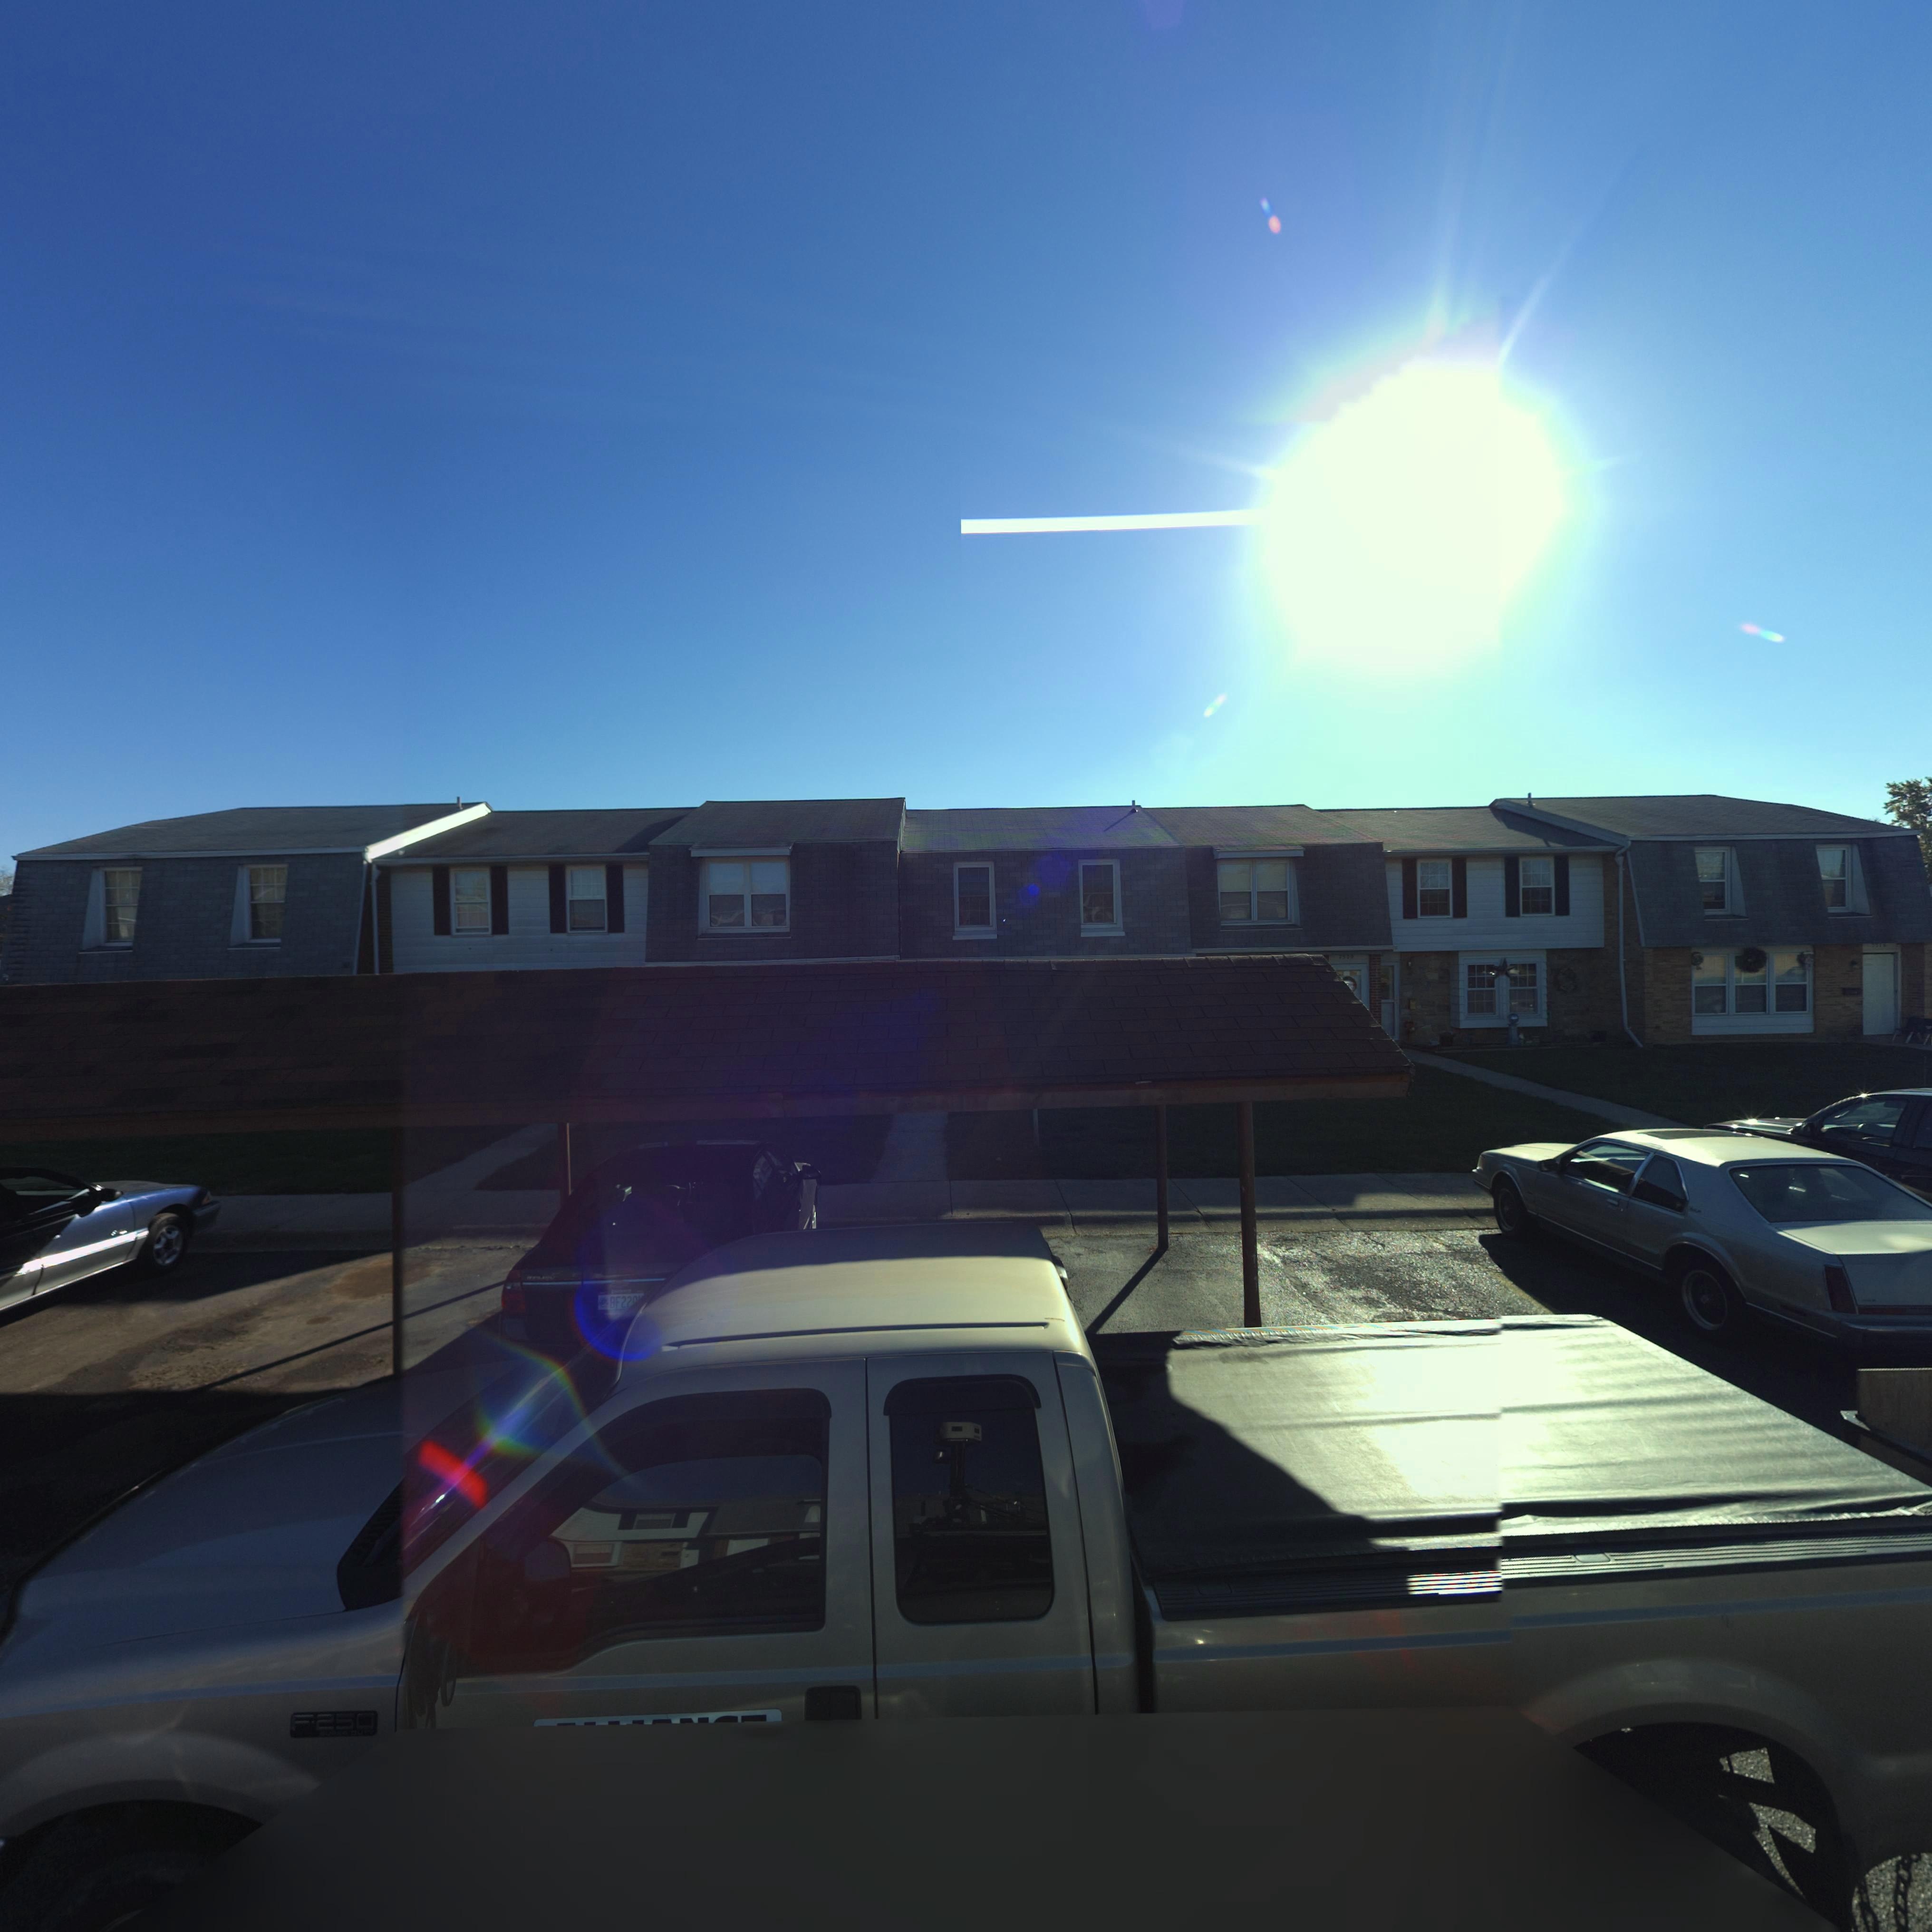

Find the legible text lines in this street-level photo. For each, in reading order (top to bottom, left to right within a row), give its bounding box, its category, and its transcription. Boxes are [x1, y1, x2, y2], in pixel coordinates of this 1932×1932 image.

[1871, 943, 1886, 948] StreetNumber: 751*
[1338, 954, 1354, 959] StreetNumber: 7520